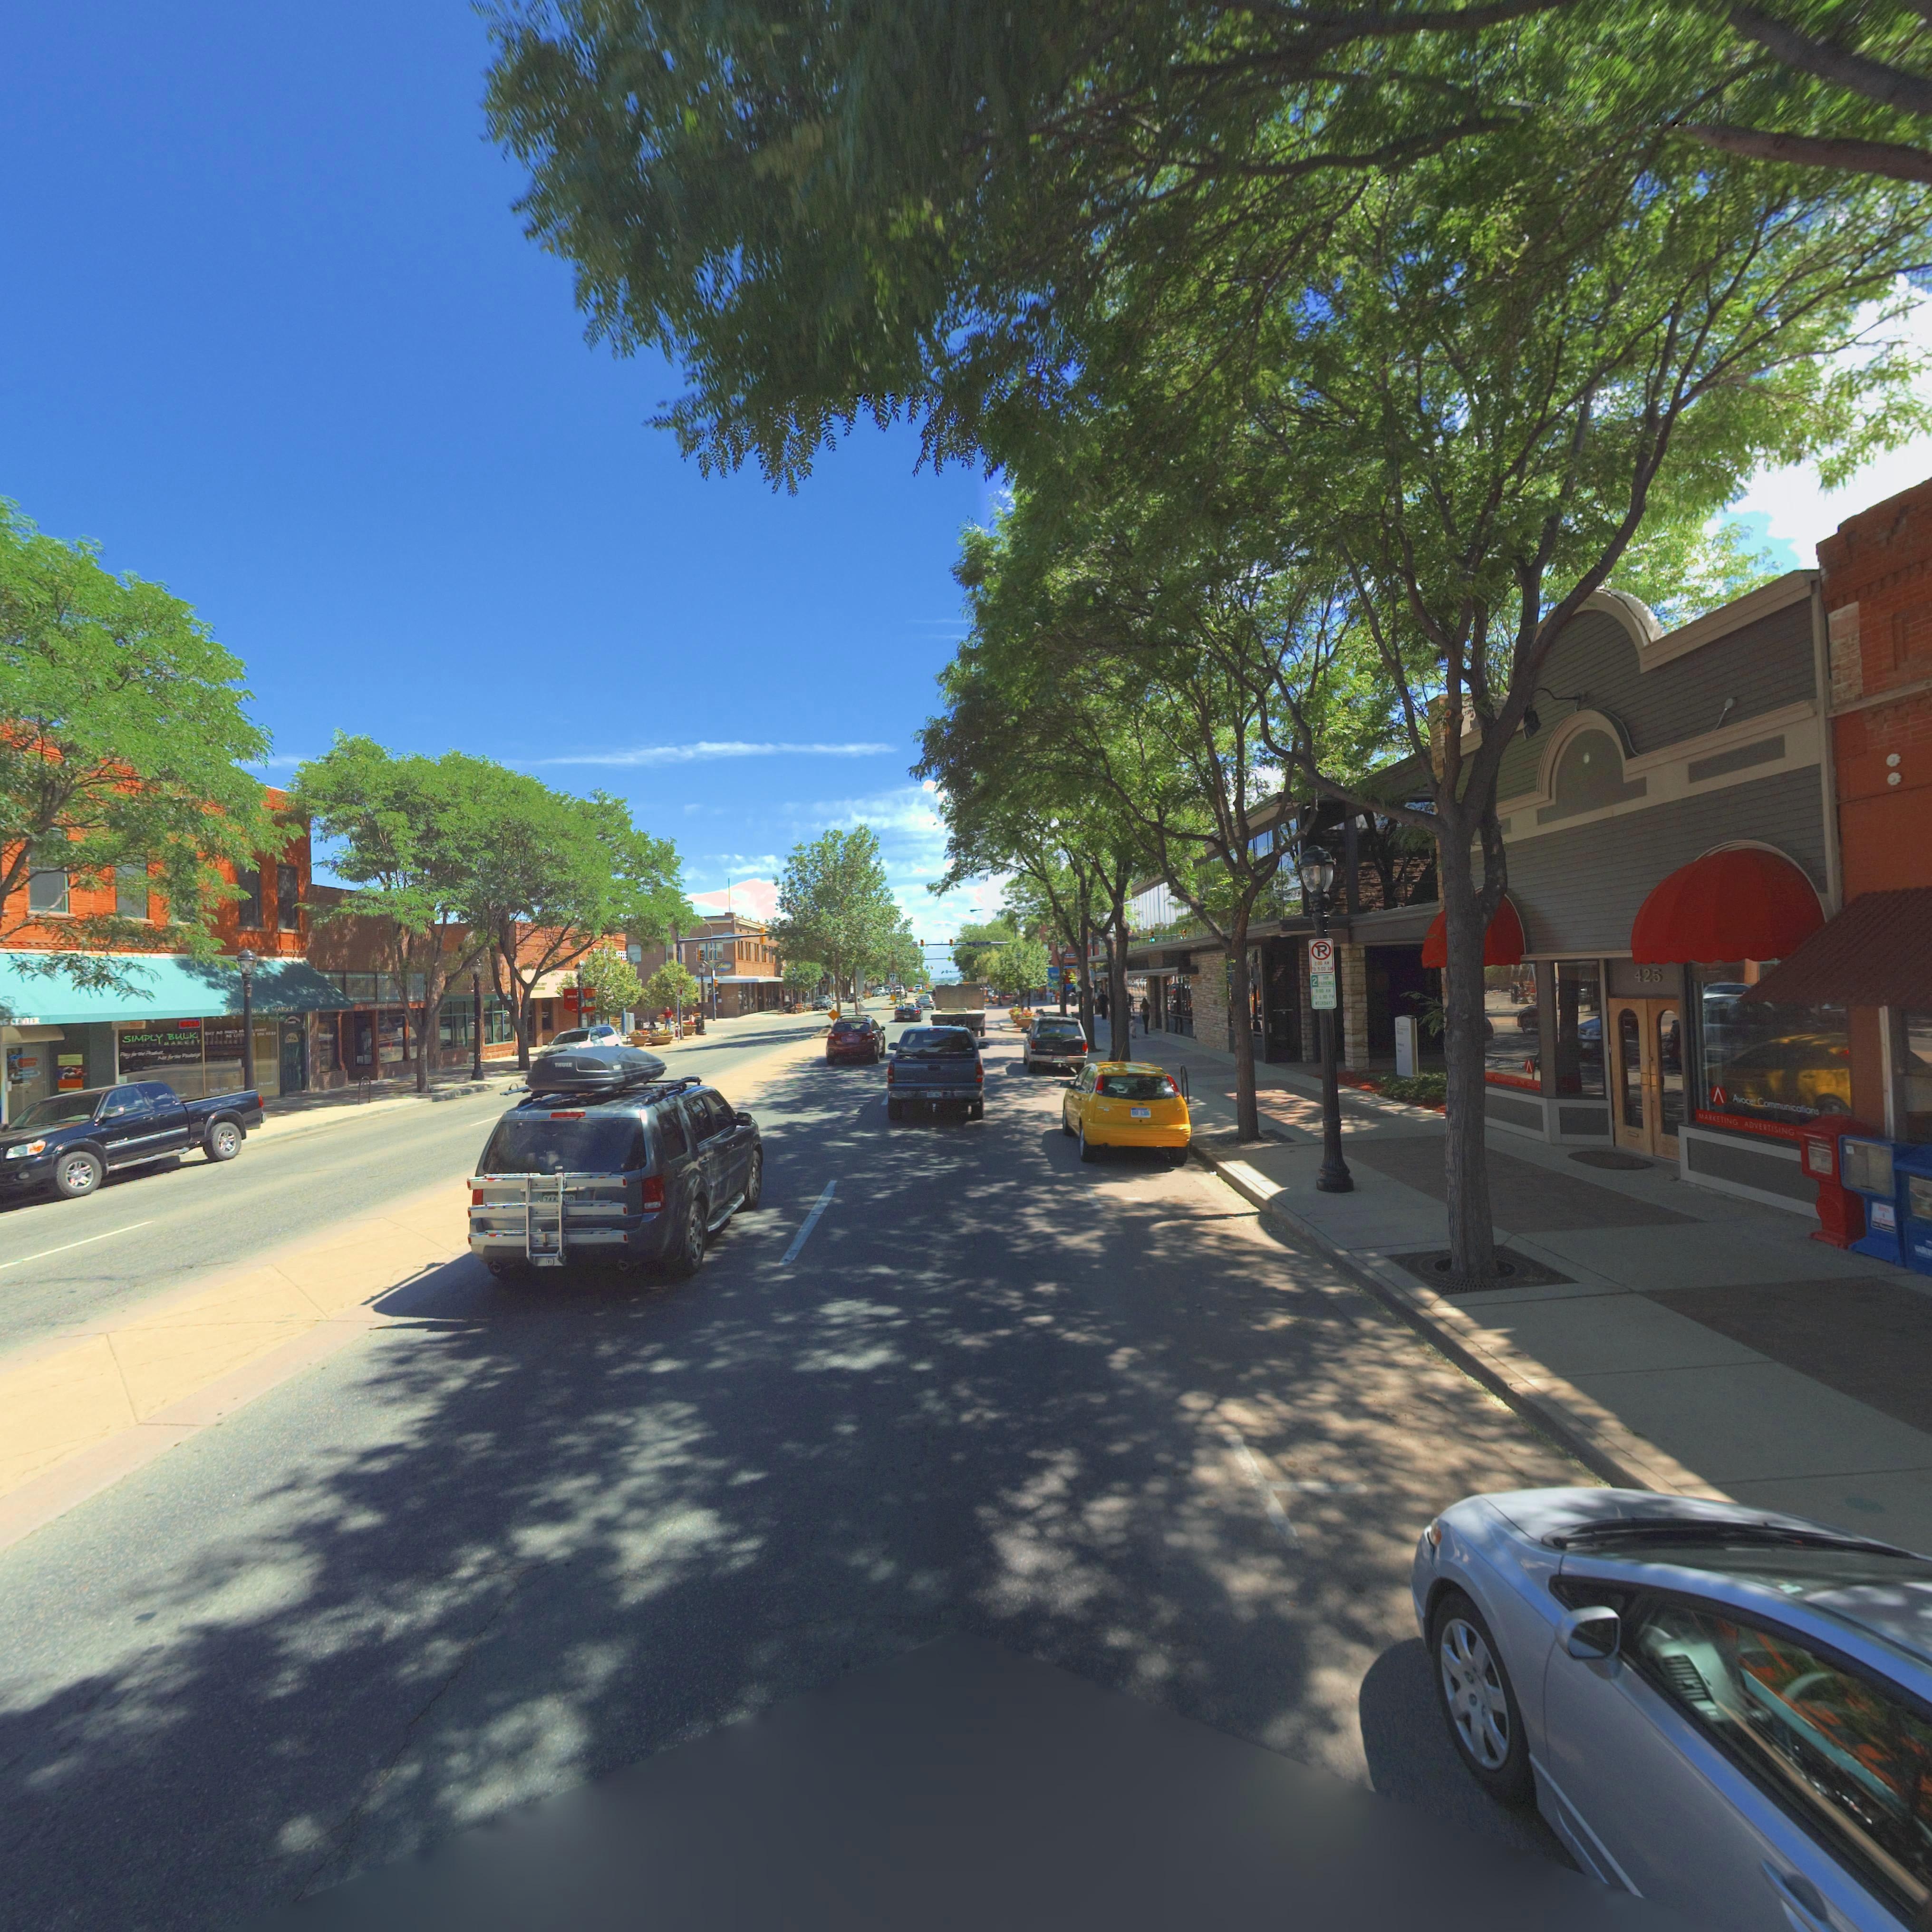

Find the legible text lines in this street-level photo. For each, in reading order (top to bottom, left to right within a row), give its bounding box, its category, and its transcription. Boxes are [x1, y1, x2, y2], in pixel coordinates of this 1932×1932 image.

[622, 950, 628, 960] BusinessName: EE
[1633, 967, 1661, 983] StreetNumber: 425
[220, 1005, 299, 1014] BusinessName: SIMPL* *ULK MARKET
[2, 1016, 40, 1026] BusinessName: S CENTER
[121, 1032, 199, 1045] BusinessName: SIMPLY BULK
[163, 1039, 201, 1046] BusinessName: MARKET
[1484, 1057, 1523, 1069] BusinessName: A***** Co************
[1731, 1093, 1819, 1117] BusinessName: Avocer Communications